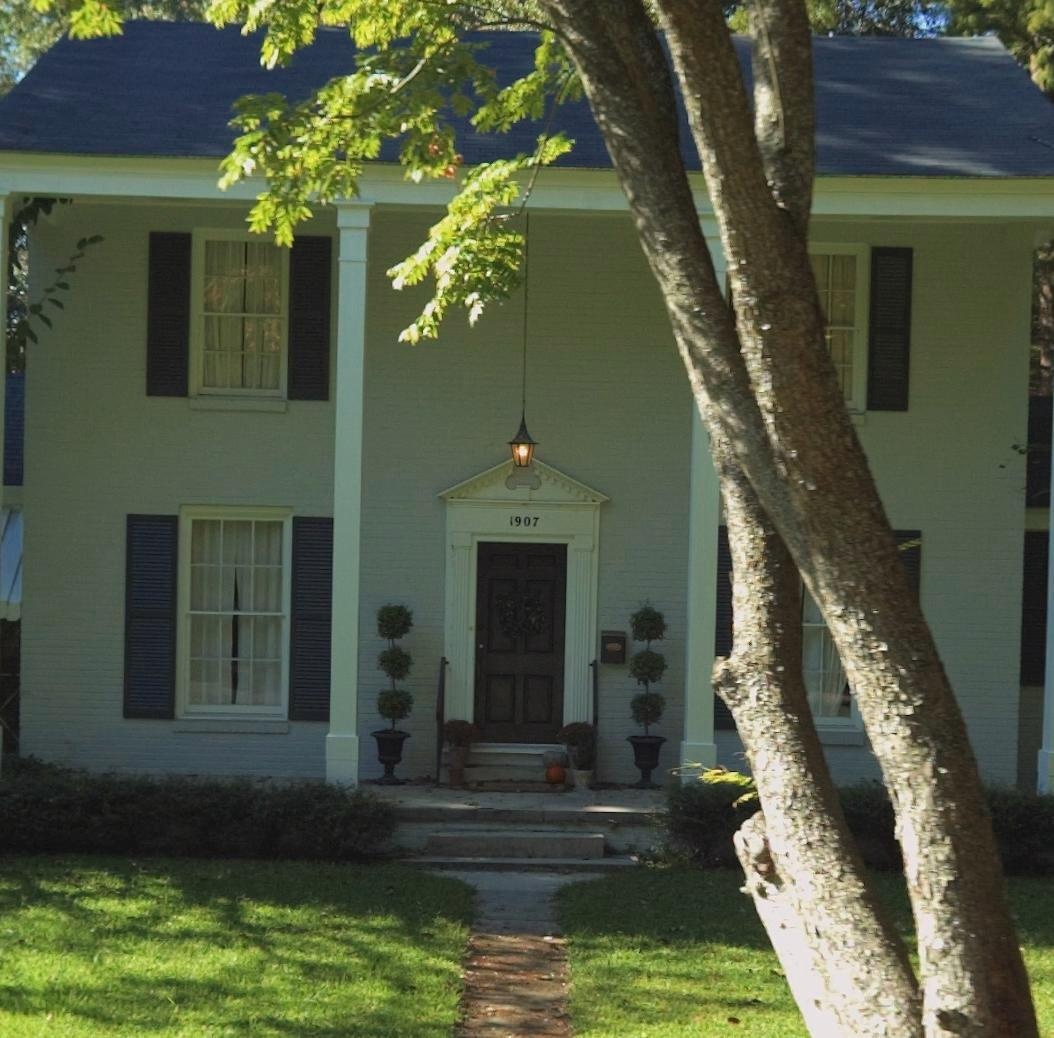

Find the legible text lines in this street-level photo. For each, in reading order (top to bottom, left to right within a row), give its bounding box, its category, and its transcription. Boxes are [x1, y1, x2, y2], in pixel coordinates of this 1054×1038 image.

[508, 514, 541, 529] StreetNumber: 1907